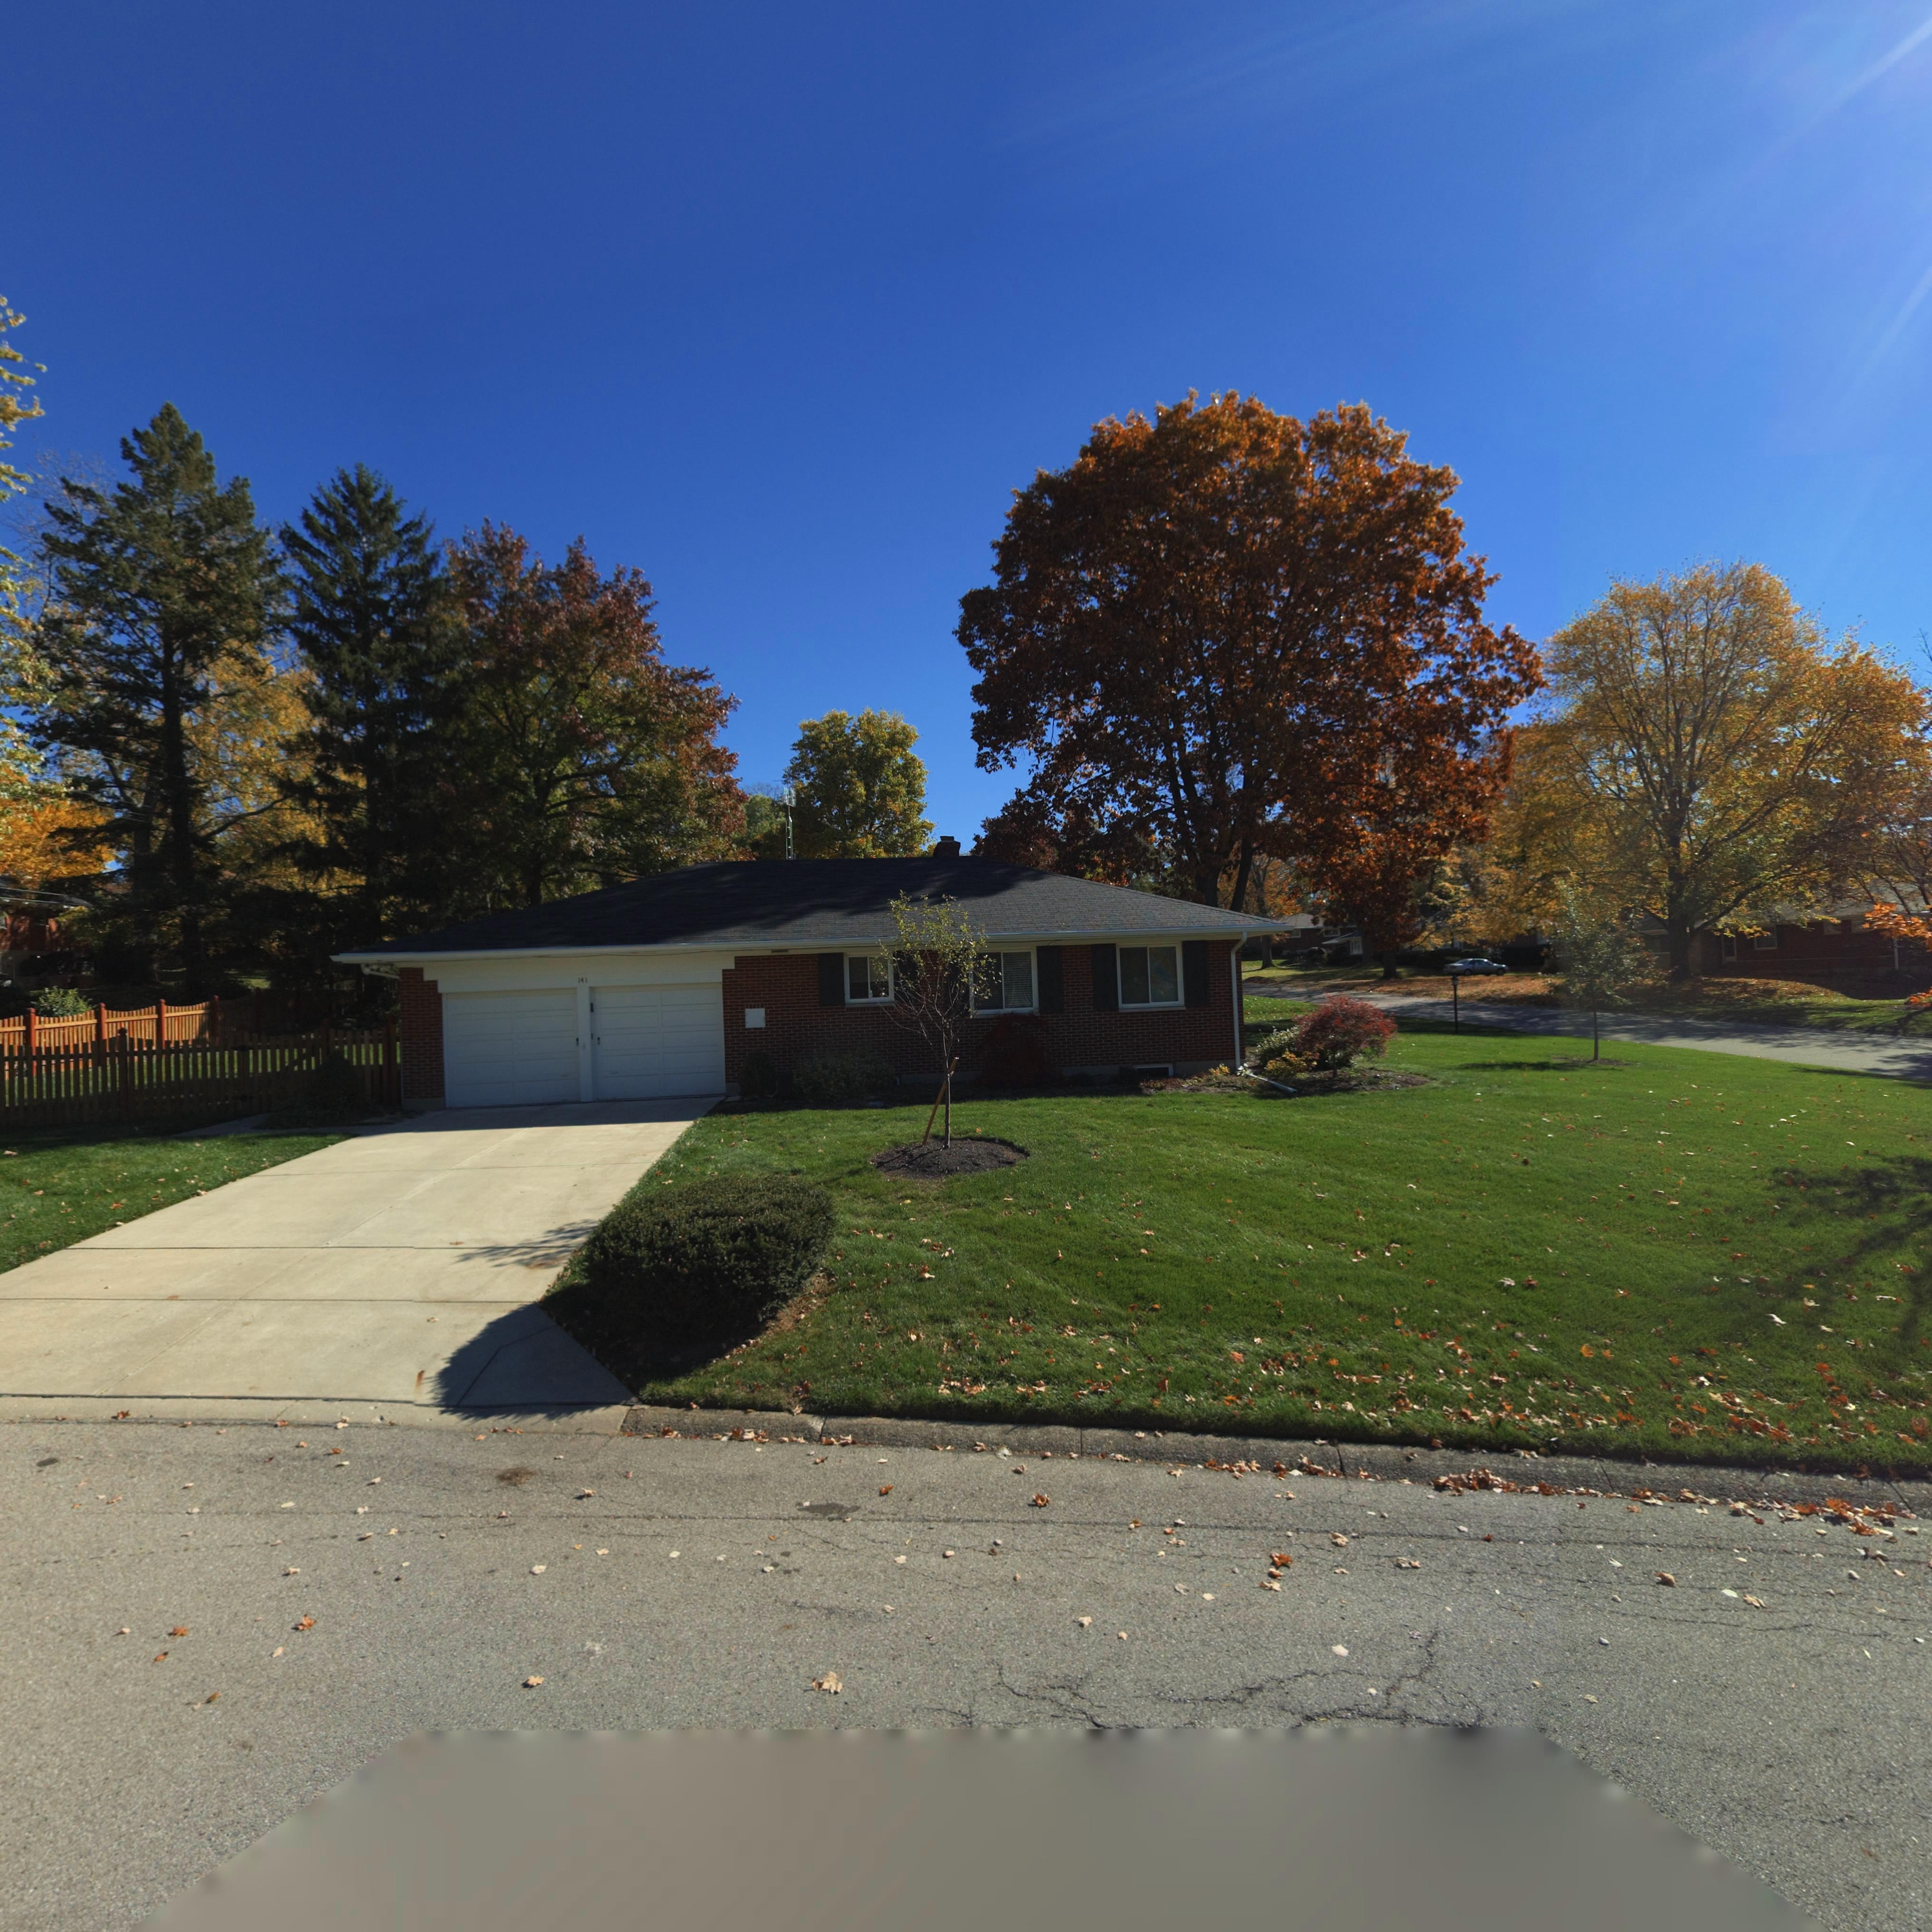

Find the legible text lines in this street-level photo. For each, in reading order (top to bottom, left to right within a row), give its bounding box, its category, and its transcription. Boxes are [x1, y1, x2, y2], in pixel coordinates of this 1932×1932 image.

[577, 976, 589, 984] StreetNumber: 141